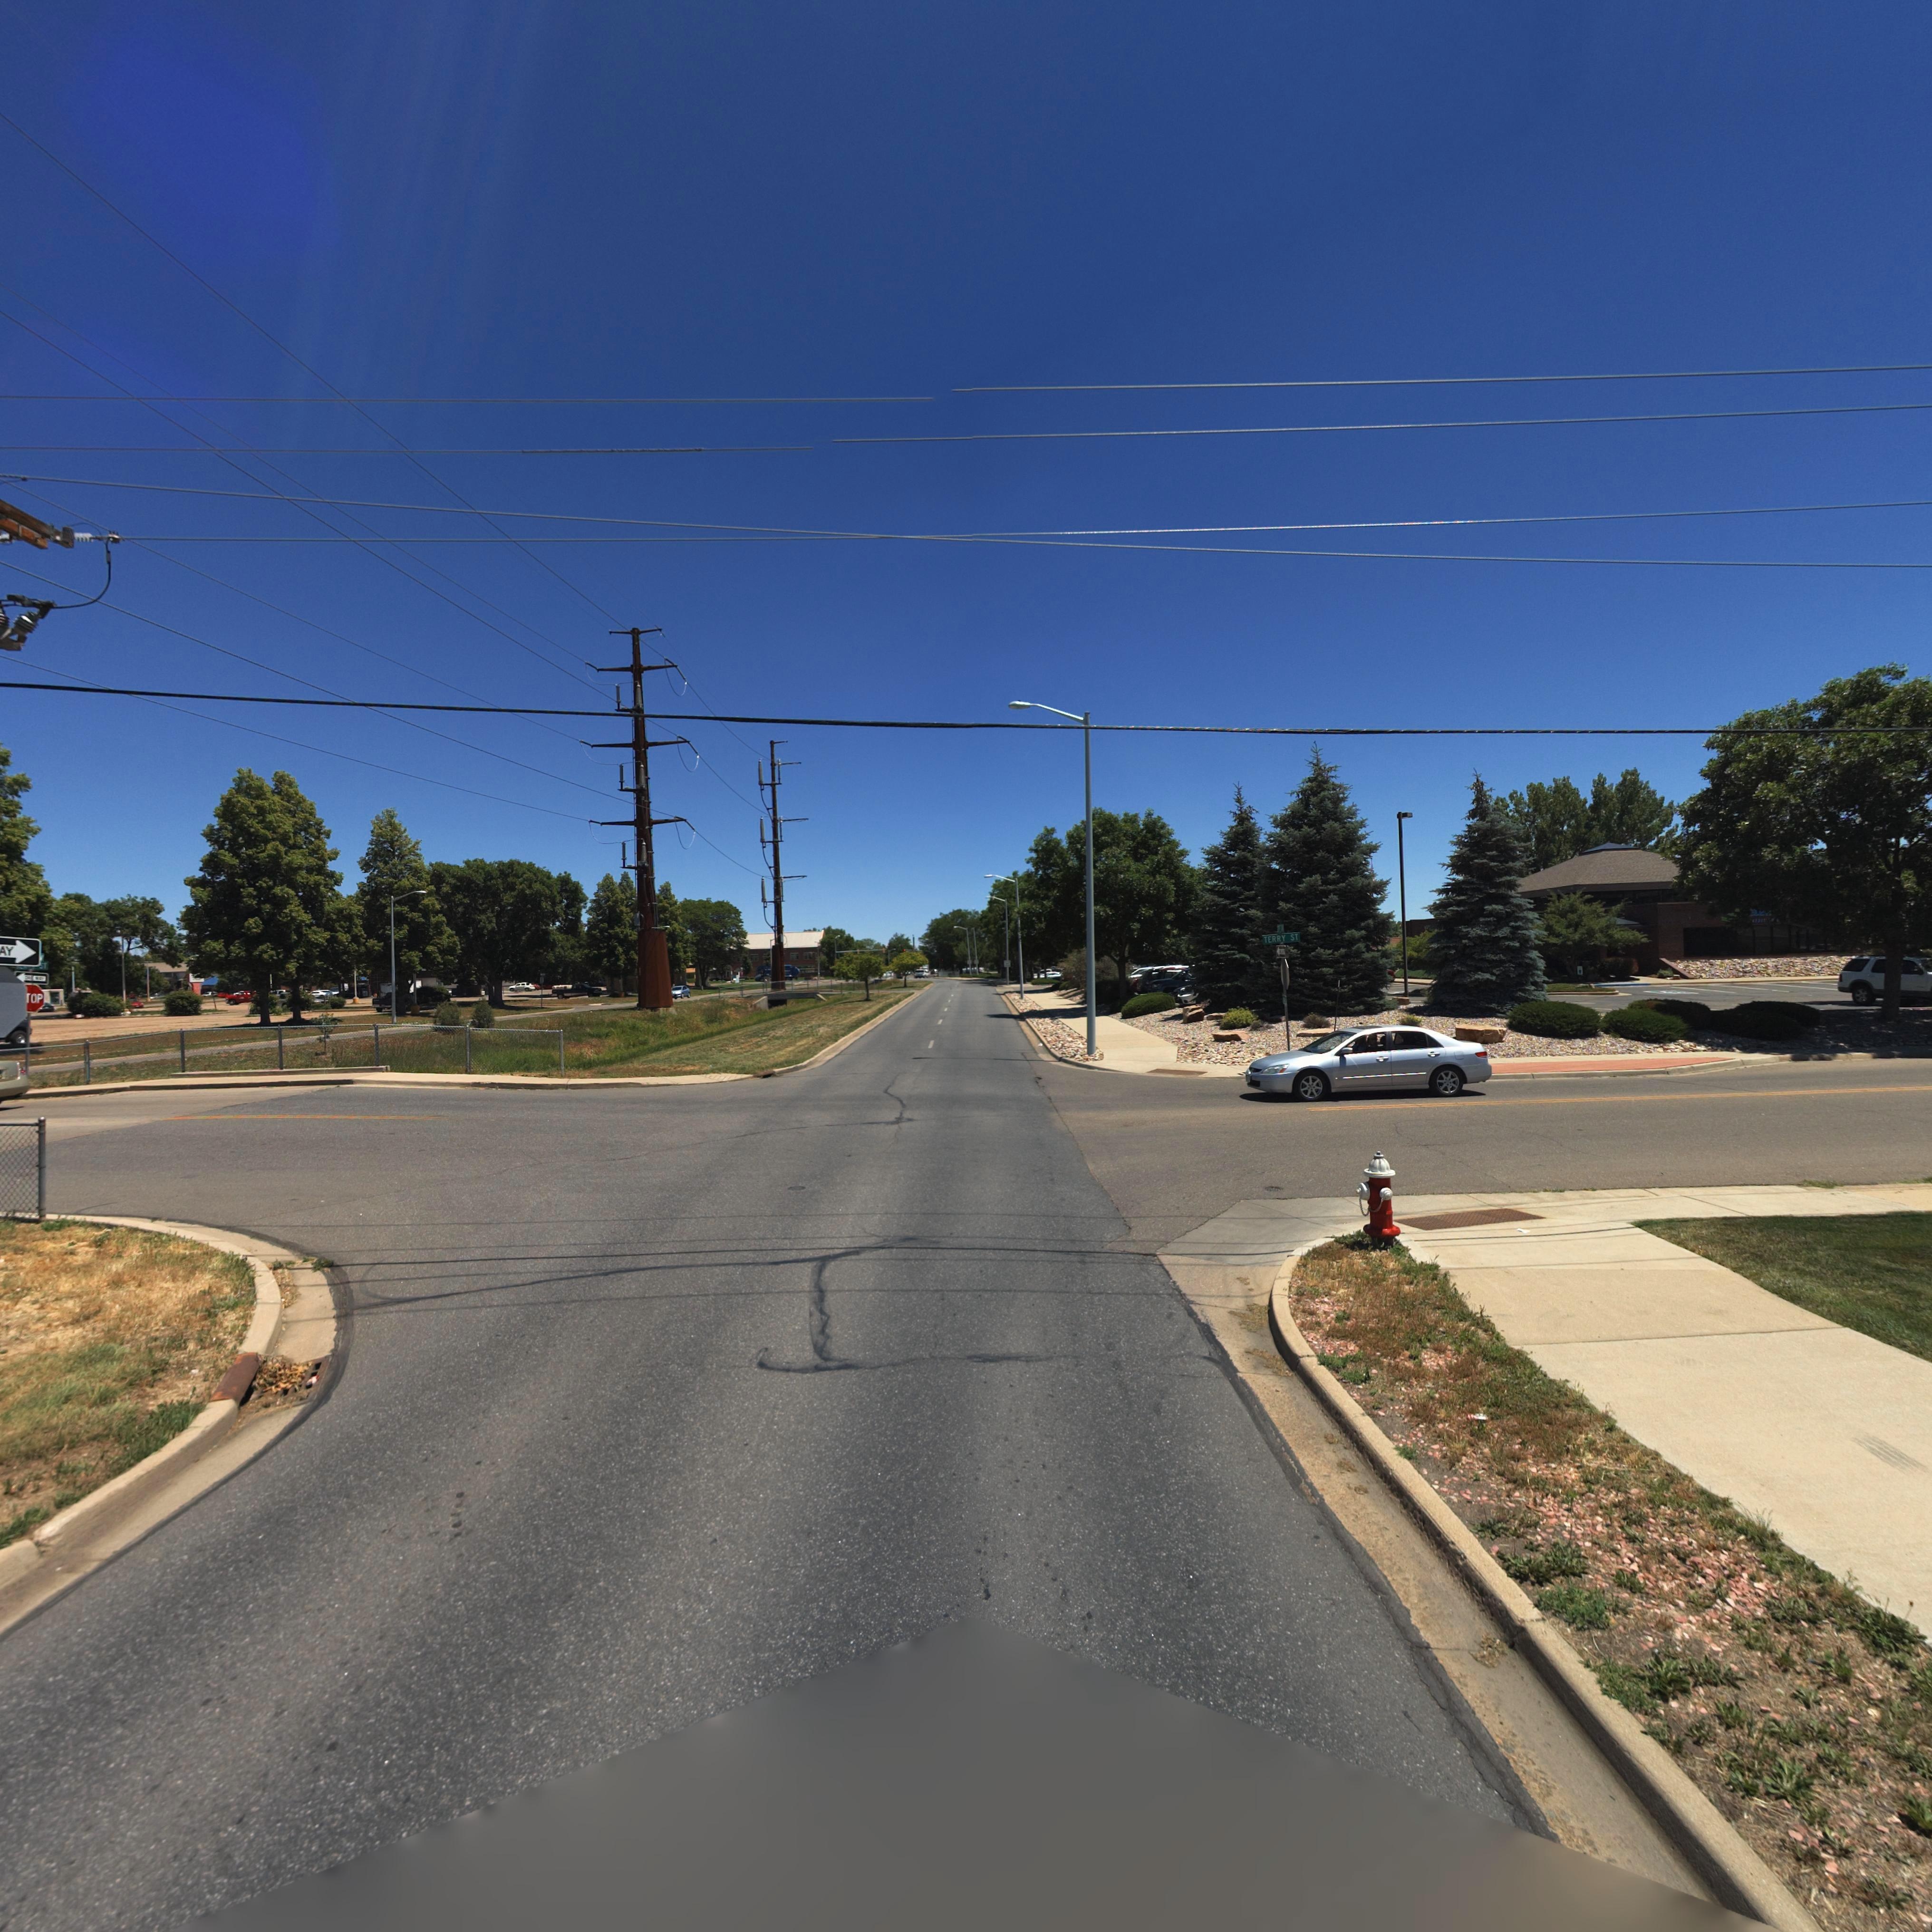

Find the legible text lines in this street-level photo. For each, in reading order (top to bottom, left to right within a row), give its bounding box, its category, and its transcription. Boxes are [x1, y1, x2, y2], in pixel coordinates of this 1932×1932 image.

[1263, 933, 1298, 943] StreetName: TERRY ST